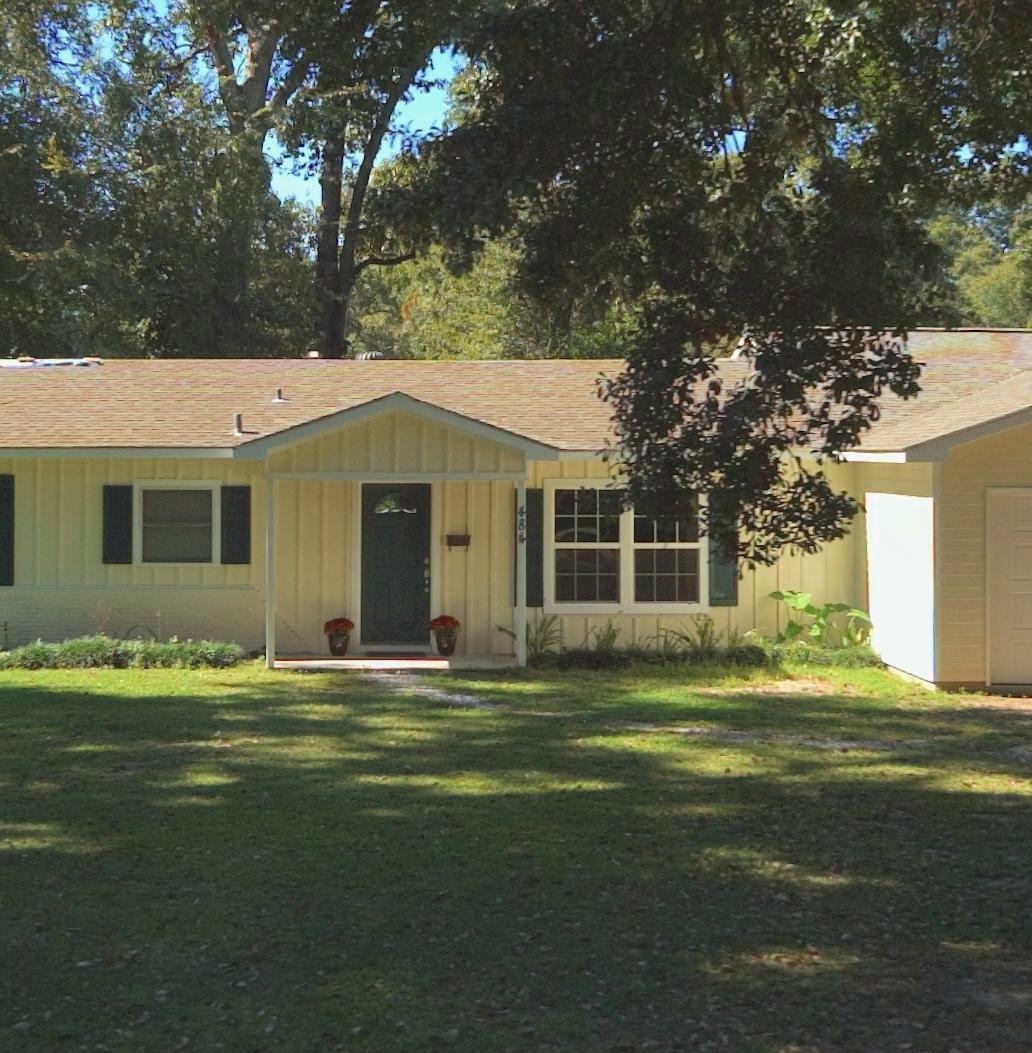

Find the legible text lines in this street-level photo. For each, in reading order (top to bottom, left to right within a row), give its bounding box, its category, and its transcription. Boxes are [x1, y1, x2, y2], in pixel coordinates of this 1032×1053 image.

[516, 504, 528, 546] StreetNumber: 484